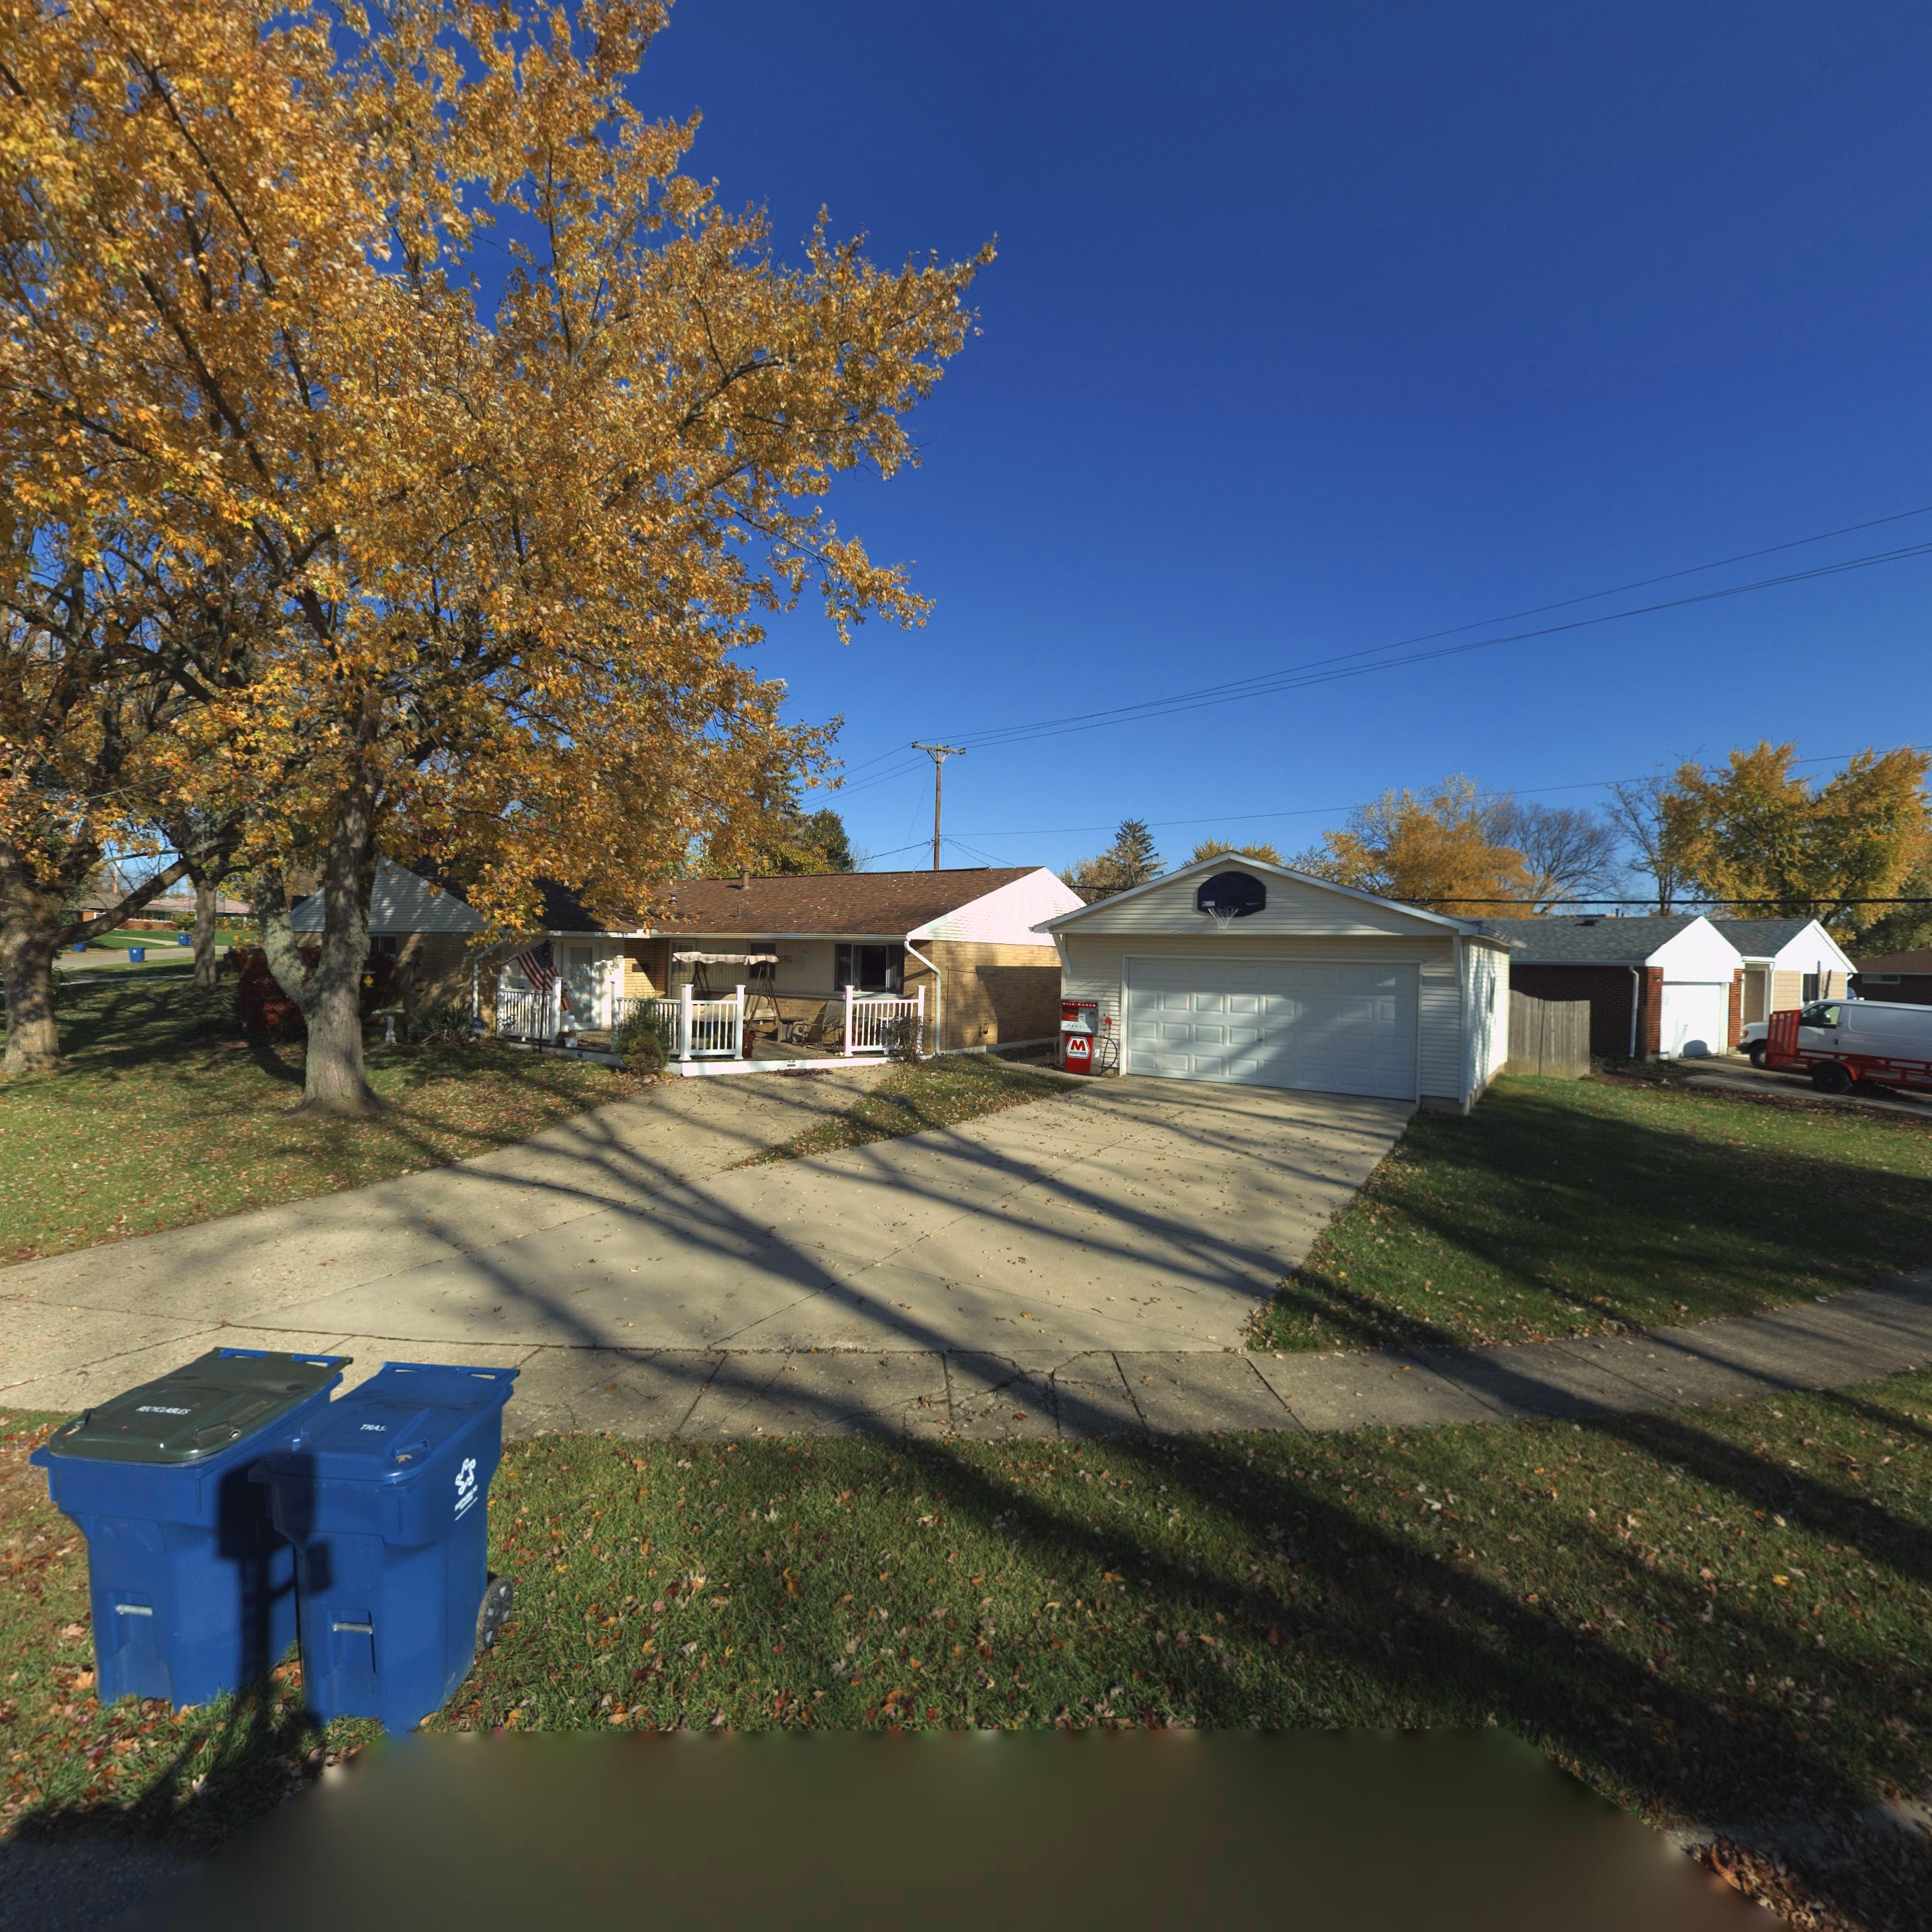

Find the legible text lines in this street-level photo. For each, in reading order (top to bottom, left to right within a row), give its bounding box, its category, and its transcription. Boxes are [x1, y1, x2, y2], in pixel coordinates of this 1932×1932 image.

[709, 966, 724, 979] StreetNumber: **18